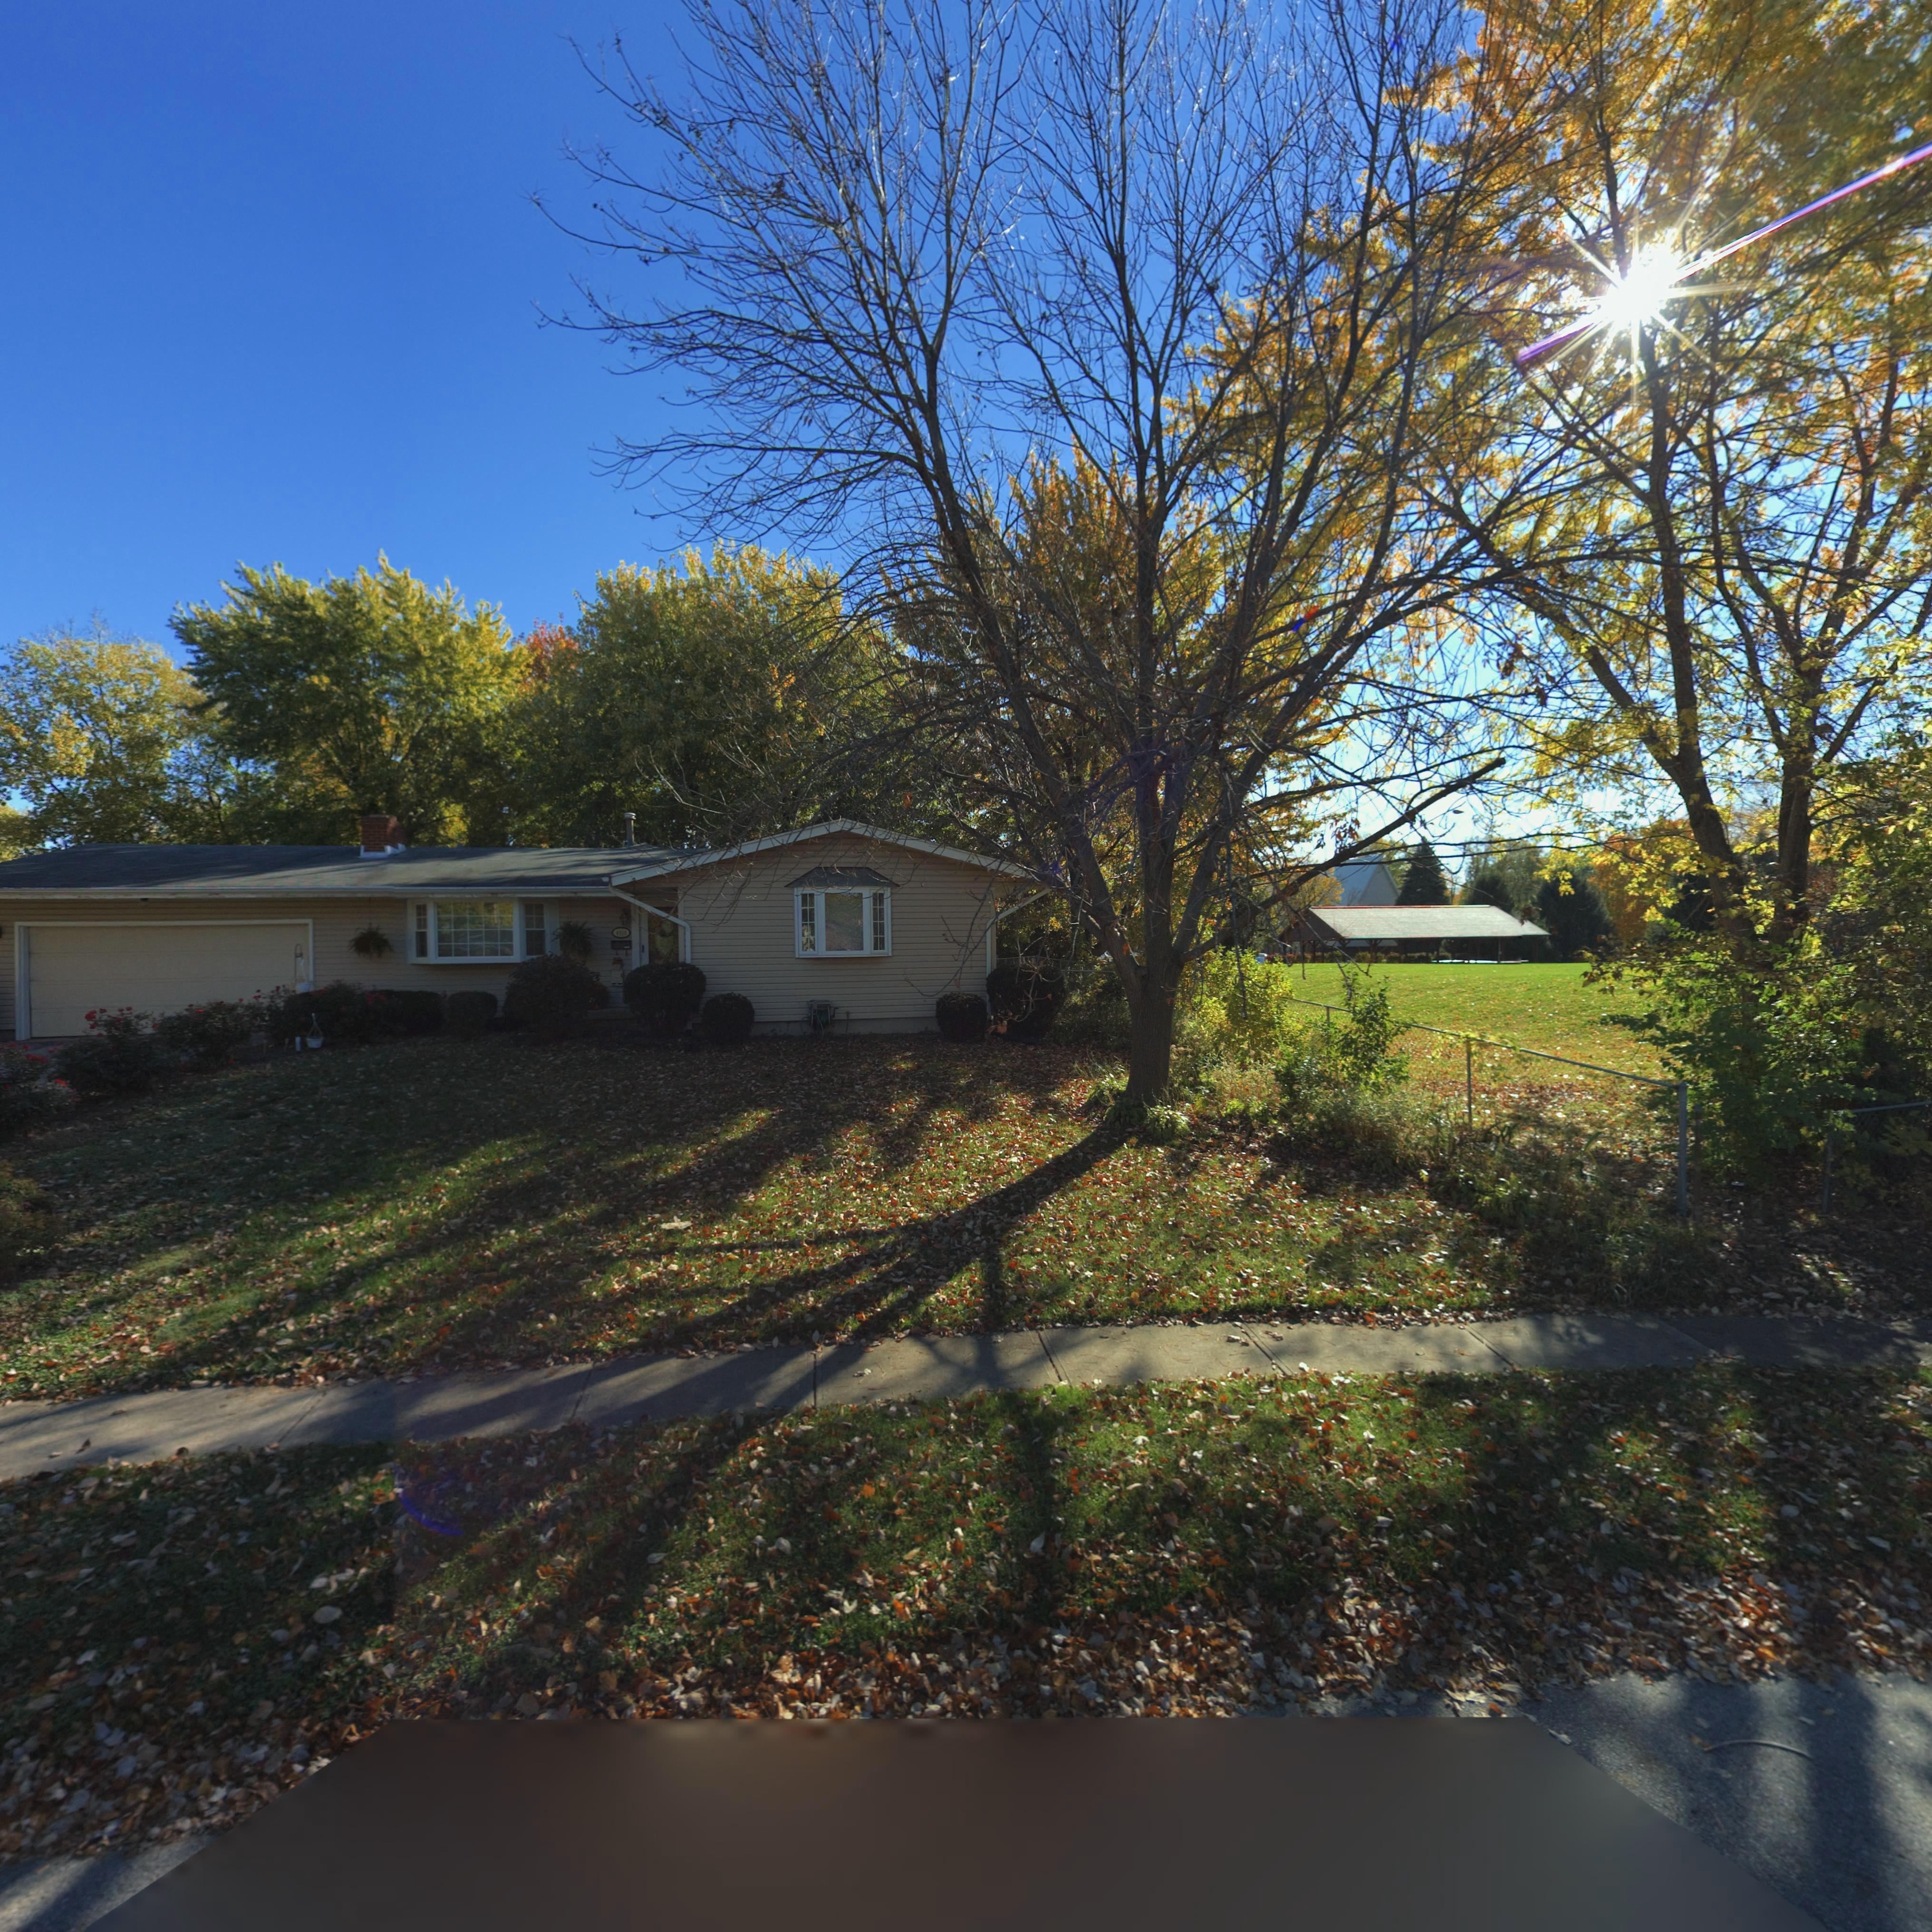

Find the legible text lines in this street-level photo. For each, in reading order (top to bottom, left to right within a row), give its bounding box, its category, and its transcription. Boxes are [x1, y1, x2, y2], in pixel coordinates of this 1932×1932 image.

[615, 929, 628, 937] StreetNumber: 4910